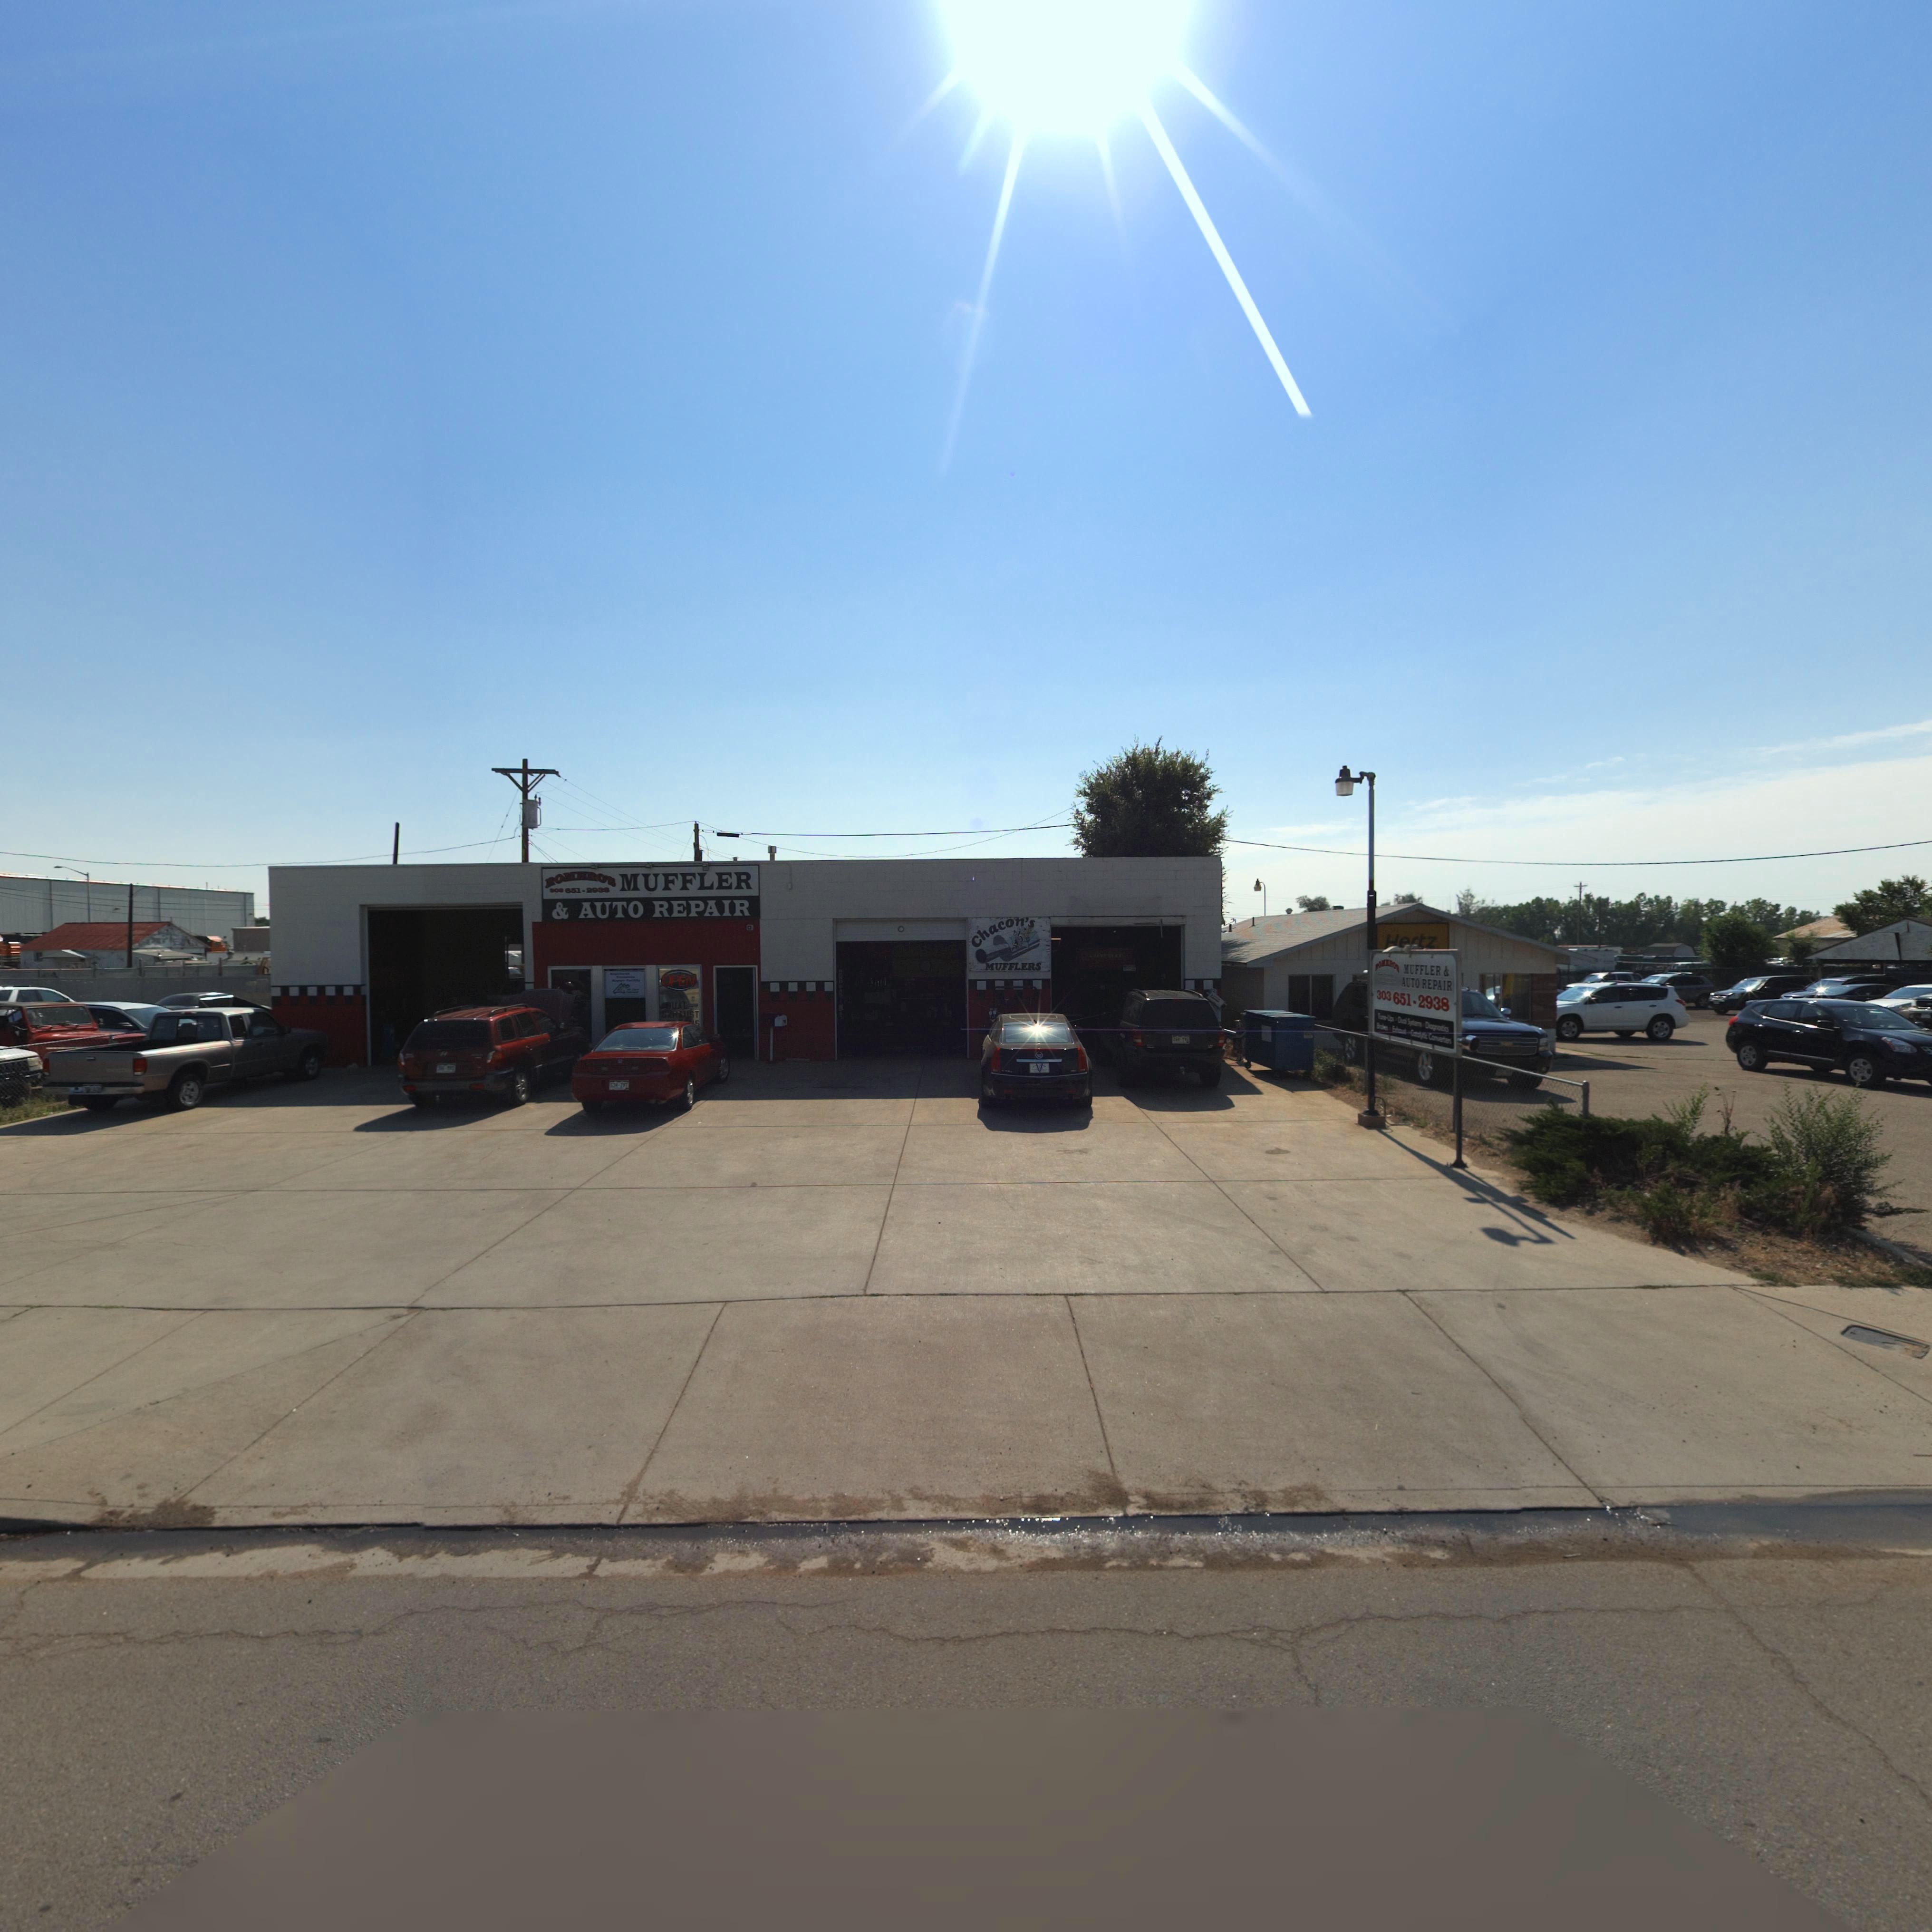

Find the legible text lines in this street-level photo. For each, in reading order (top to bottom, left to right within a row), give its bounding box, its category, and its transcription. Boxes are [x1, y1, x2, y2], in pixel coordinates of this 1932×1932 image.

[544, 871, 616, 889] BusinessName: ROMERO'S
[618, 871, 753, 892] BusinessName: MUFFLER
[551, 899, 751, 920] BusinessName: & AUTO REPAIR
[1383, 933, 1437, 951] BusinessName: ***tz
[1374, 958, 1400, 973] BusinessName: ROMERO'S
[1403, 964, 1449, 977] BusinessName: MUFFLER &
[1401, 976, 1452, 991] BusinessName: AUTO REPAIR